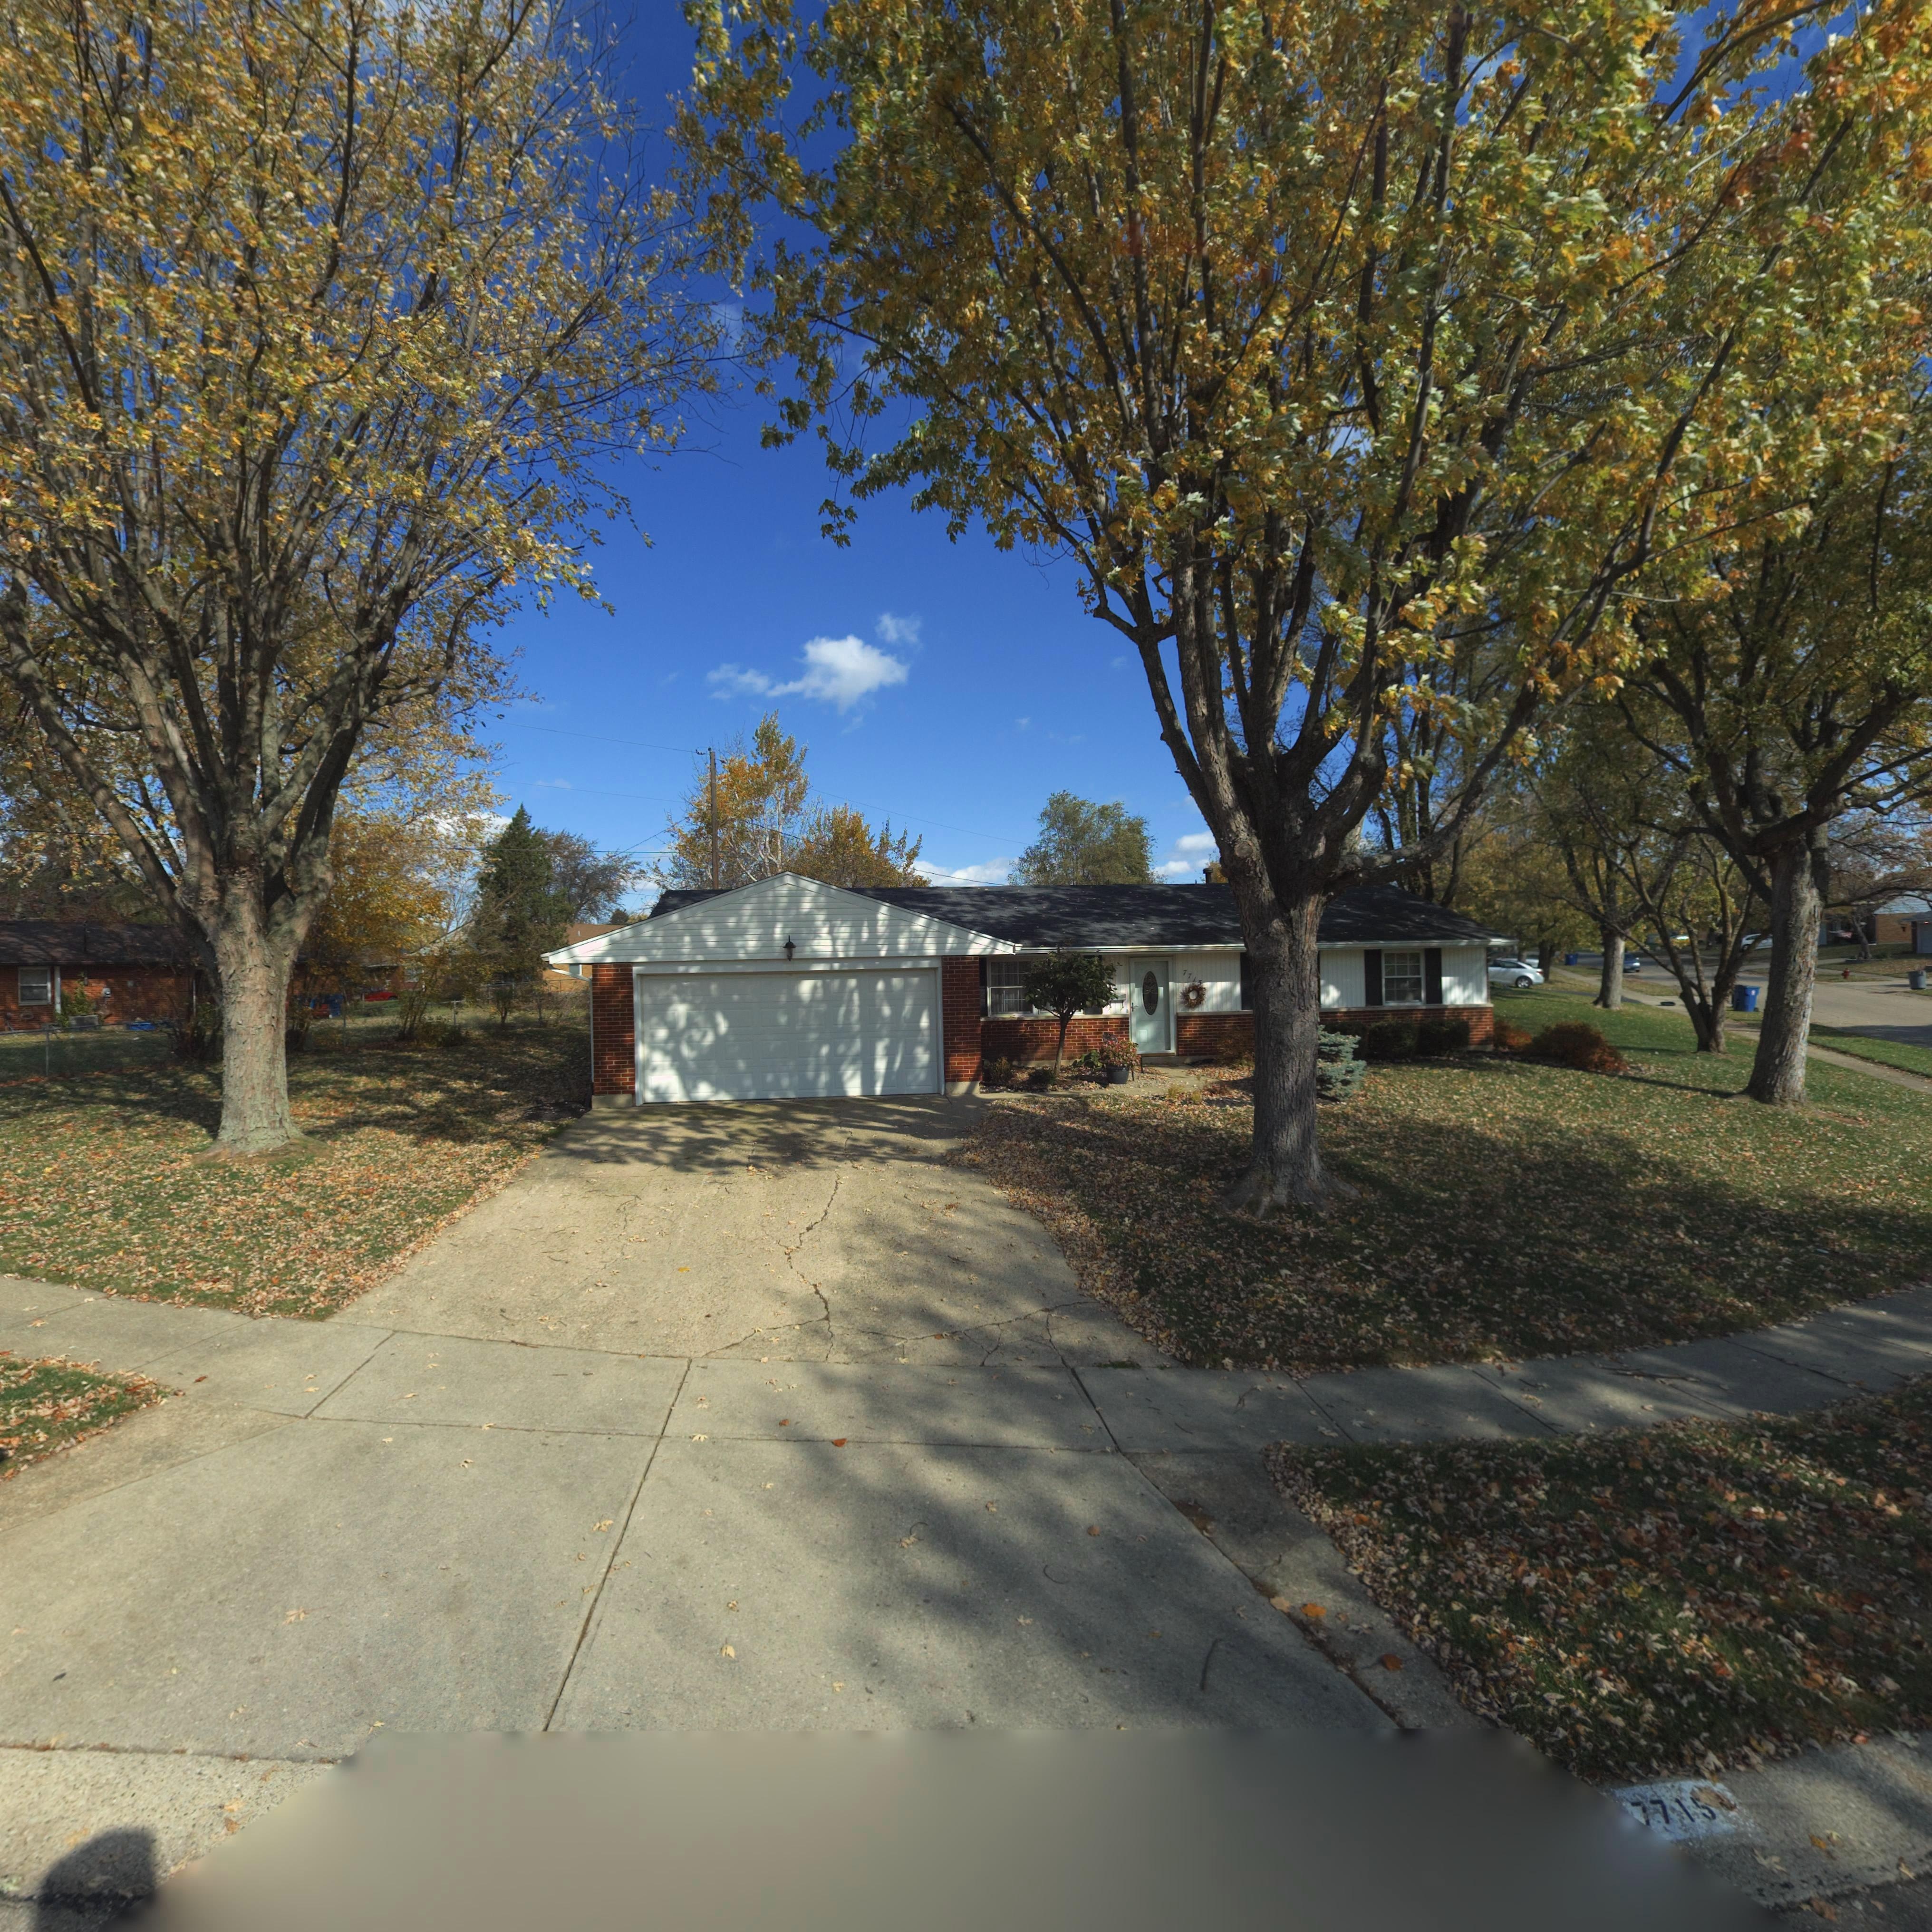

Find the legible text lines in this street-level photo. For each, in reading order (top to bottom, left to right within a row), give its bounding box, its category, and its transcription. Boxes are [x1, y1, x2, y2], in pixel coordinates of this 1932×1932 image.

[1182, 969, 1203, 986] StreetNumber: 7715
[1629, 1796, 1717, 1827] StreetNumber: 7715